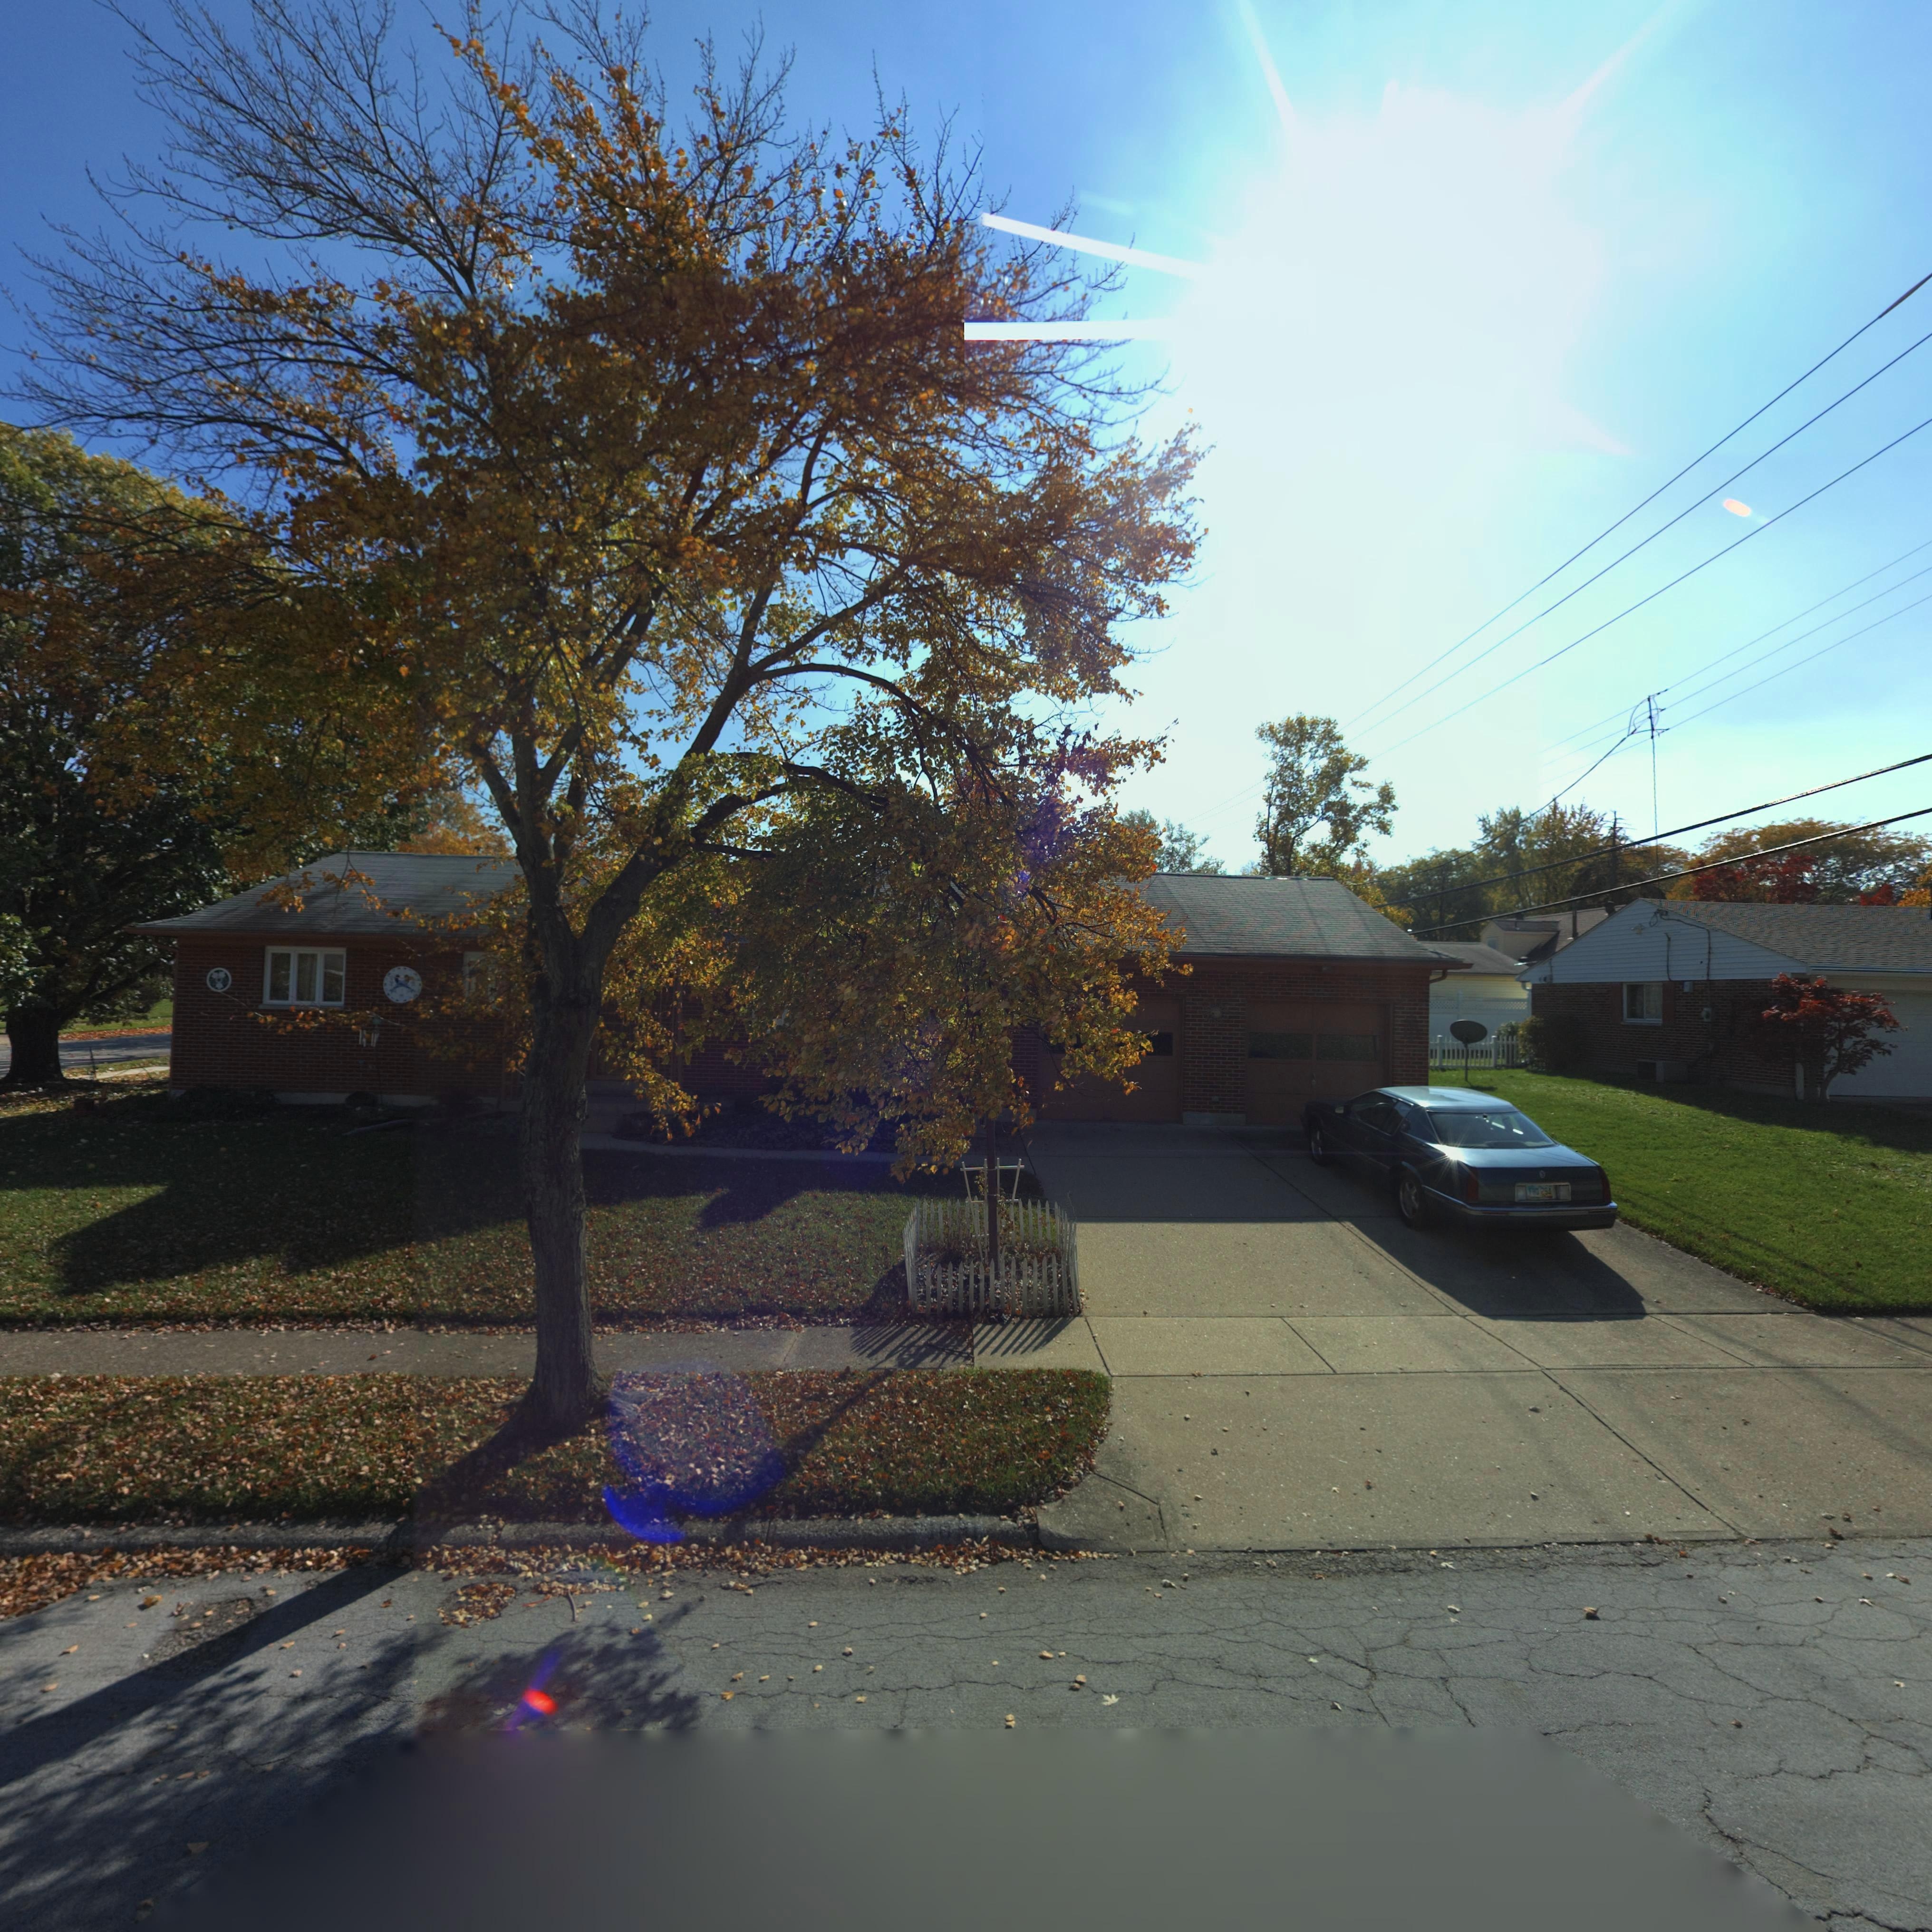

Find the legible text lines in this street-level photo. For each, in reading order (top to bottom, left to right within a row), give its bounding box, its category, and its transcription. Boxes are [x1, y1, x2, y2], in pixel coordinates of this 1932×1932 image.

[1547, 1186, 1553, 1197] None: 4